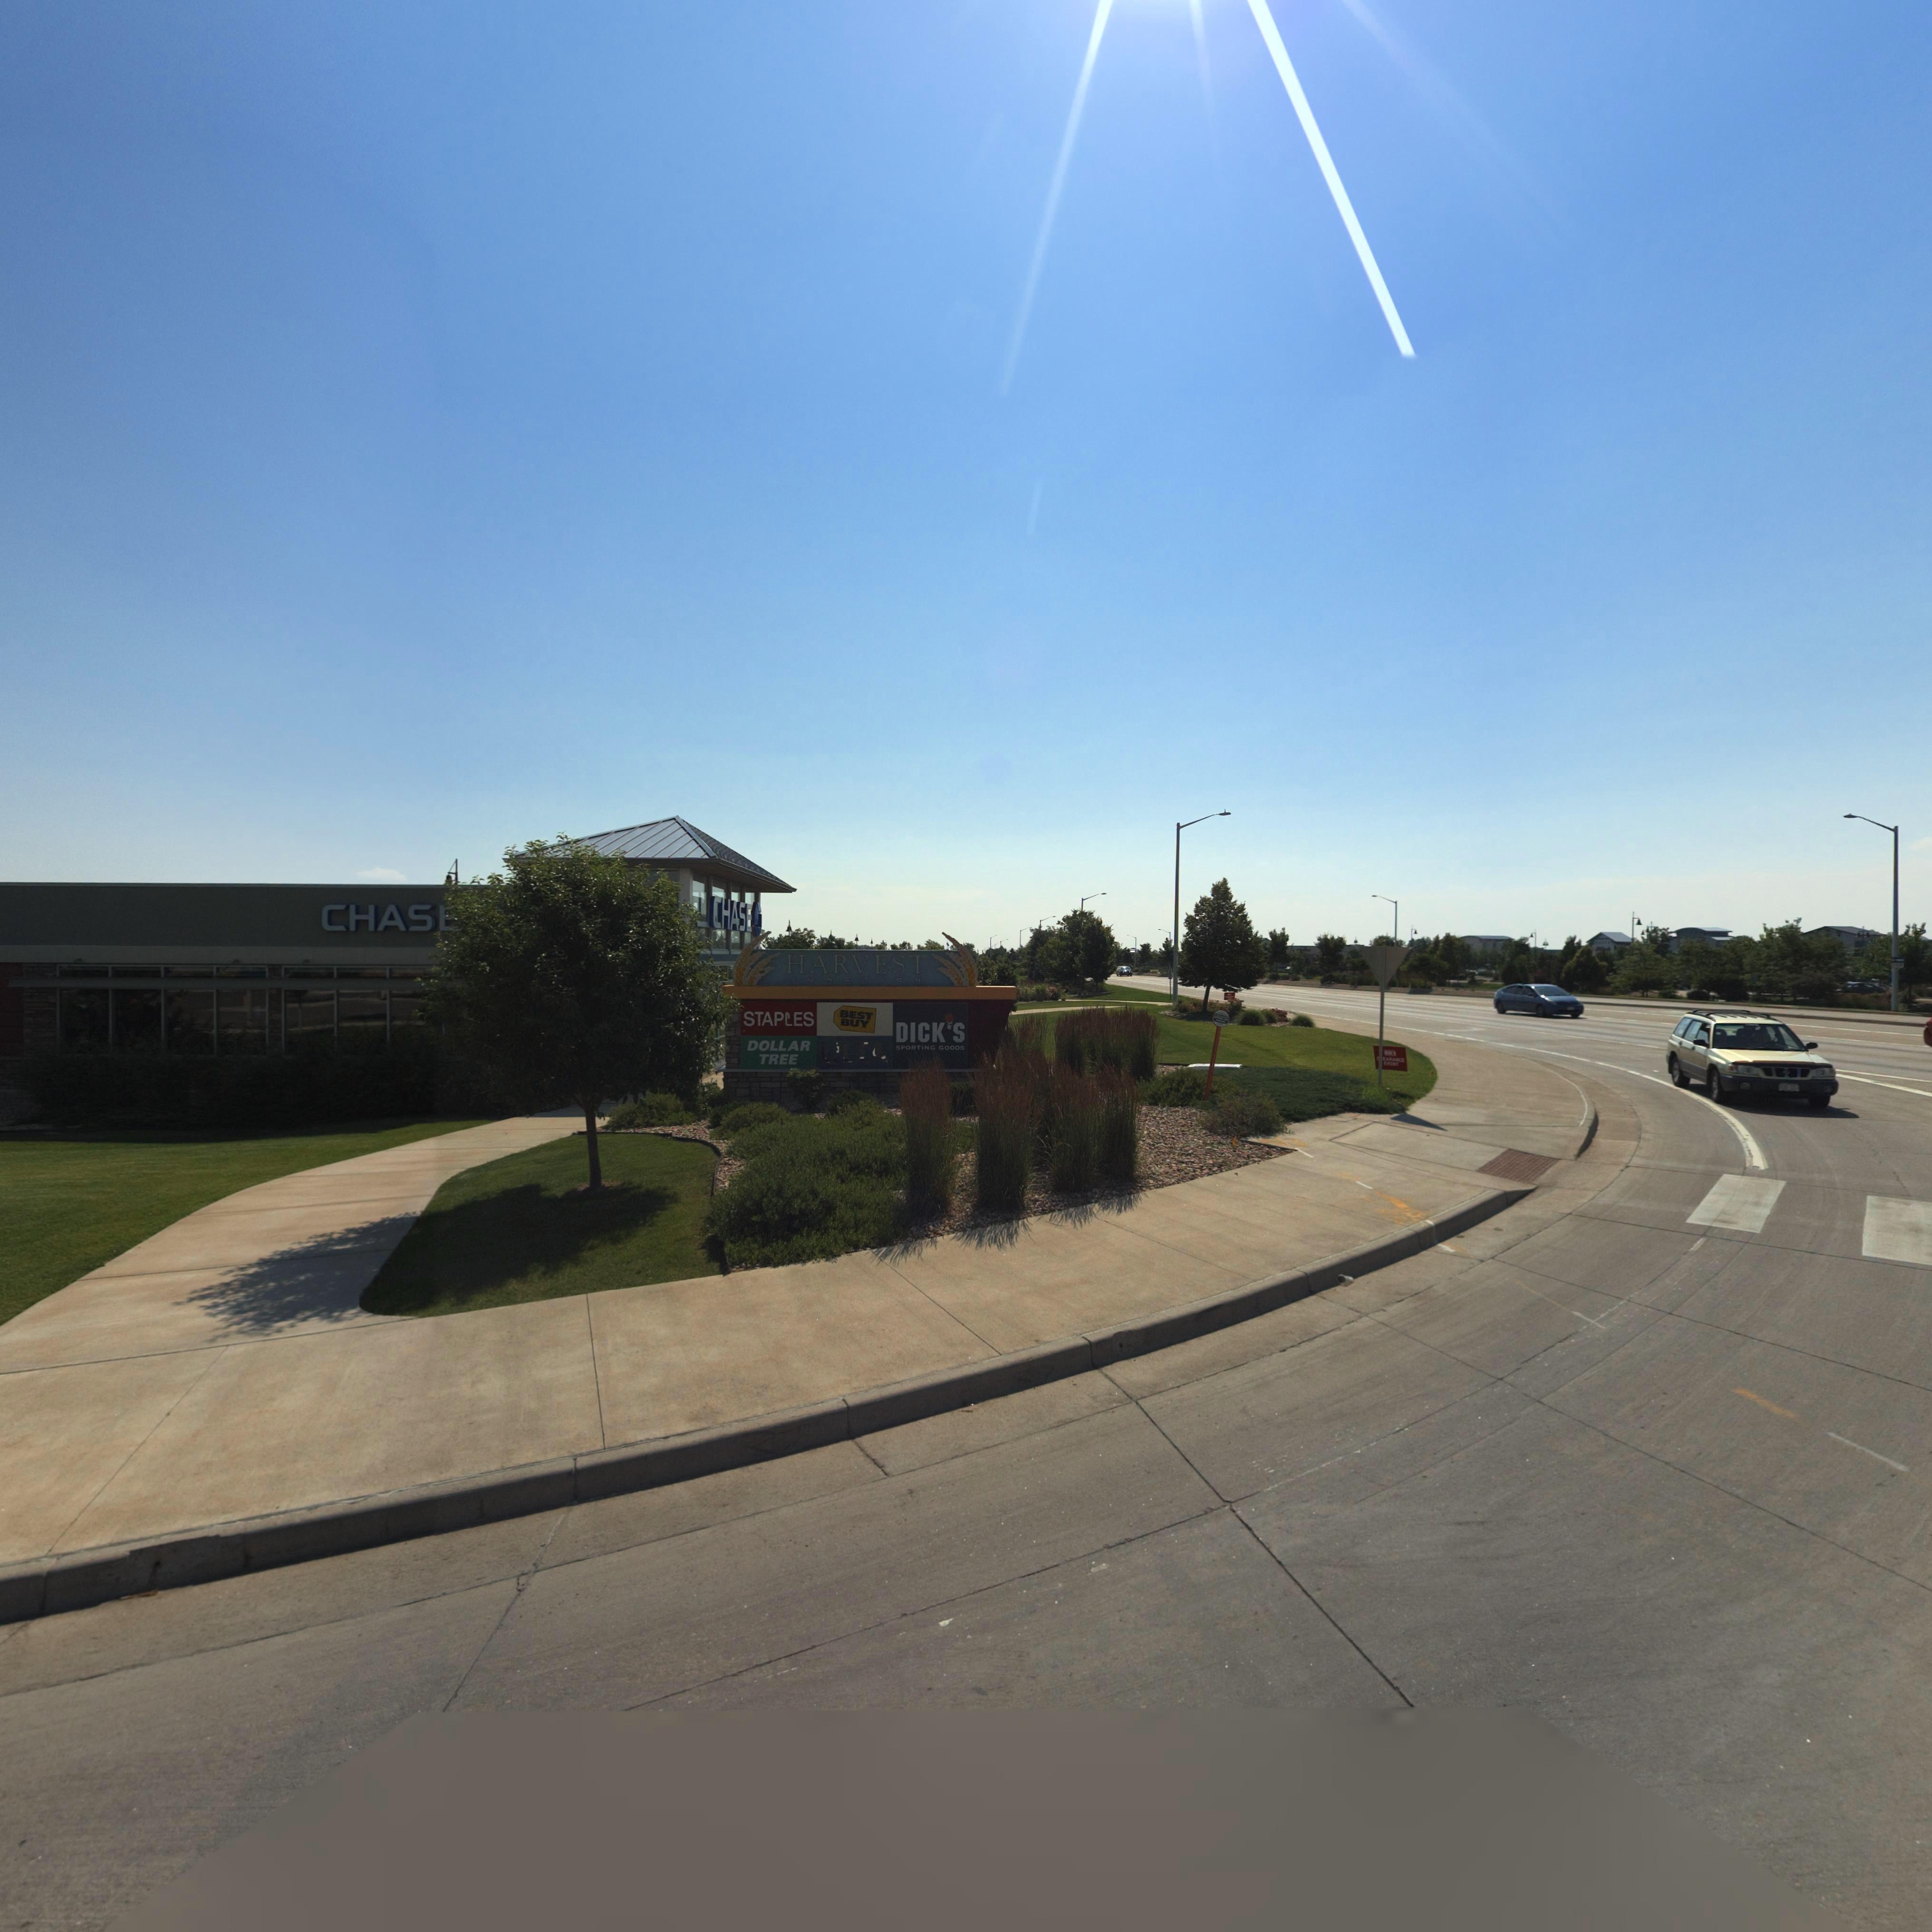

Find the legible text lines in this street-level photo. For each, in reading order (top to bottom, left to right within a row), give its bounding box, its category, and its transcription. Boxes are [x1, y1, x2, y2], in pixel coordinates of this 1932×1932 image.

[320, 904, 460, 932] BusinessName: CHASE
[712, 894, 753, 932] BusinessName: CHASE
[743, 1010, 814, 1027] BusinessName: STAPLES
[840, 1018, 869, 1028] BusinessName: BUY
[840, 1010, 873, 1020] BusinessName: BEST
[896, 1022, 965, 1043] BusinessName: DICK'S
[758, 1054, 798, 1065] BusinessName: TREE
[746, 1040, 811, 1051] BusinessName: DOLLAR
[821, 1040, 889, 1063] BusinessName: ULTA
[896, 1045, 964, 1050] BusinessName: SPORTING GOODS